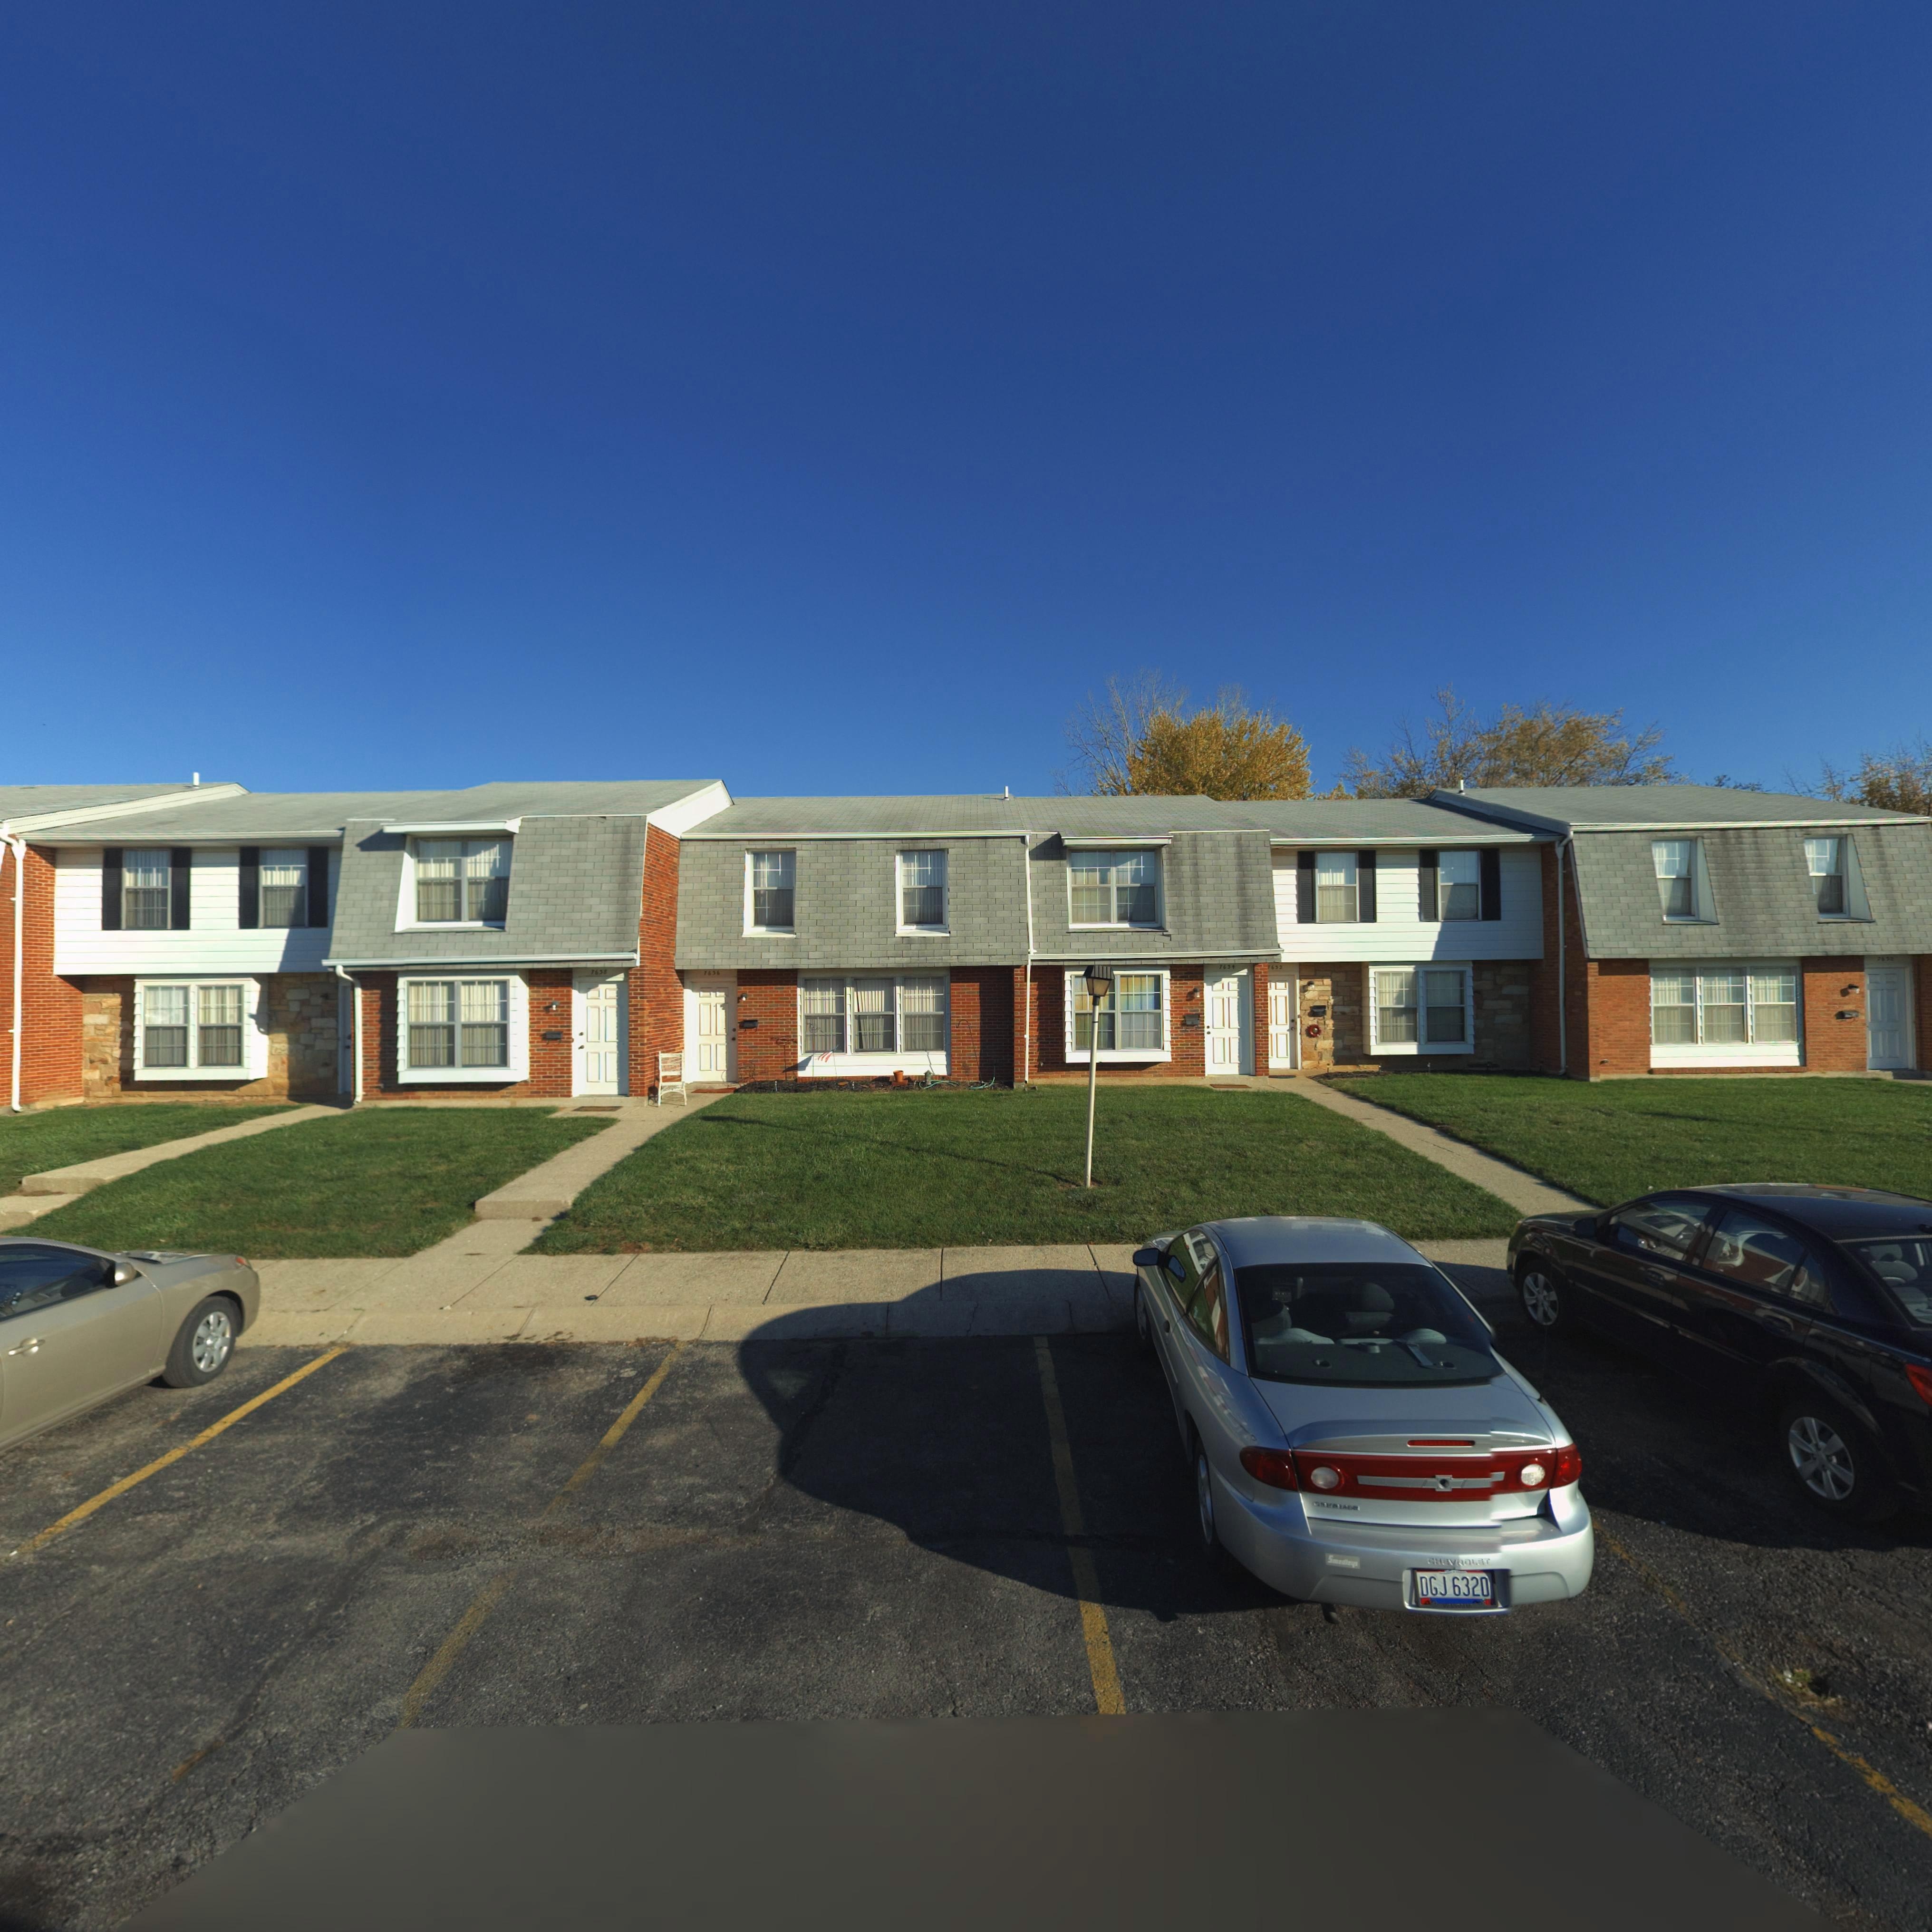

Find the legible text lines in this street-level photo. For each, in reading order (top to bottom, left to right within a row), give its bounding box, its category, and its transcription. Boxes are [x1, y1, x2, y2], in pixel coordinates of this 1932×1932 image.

[1876, 956, 1895, 962] StreetNumber: 7*20
[1218, 964, 1235, 970] StreetNumber: 7634
[1267, 965, 1283, 970] StreetNumber: 7632
[590, 968, 608, 975] StreetNumber: 7638
[703, 969, 721, 976] StreetNumber: 7636